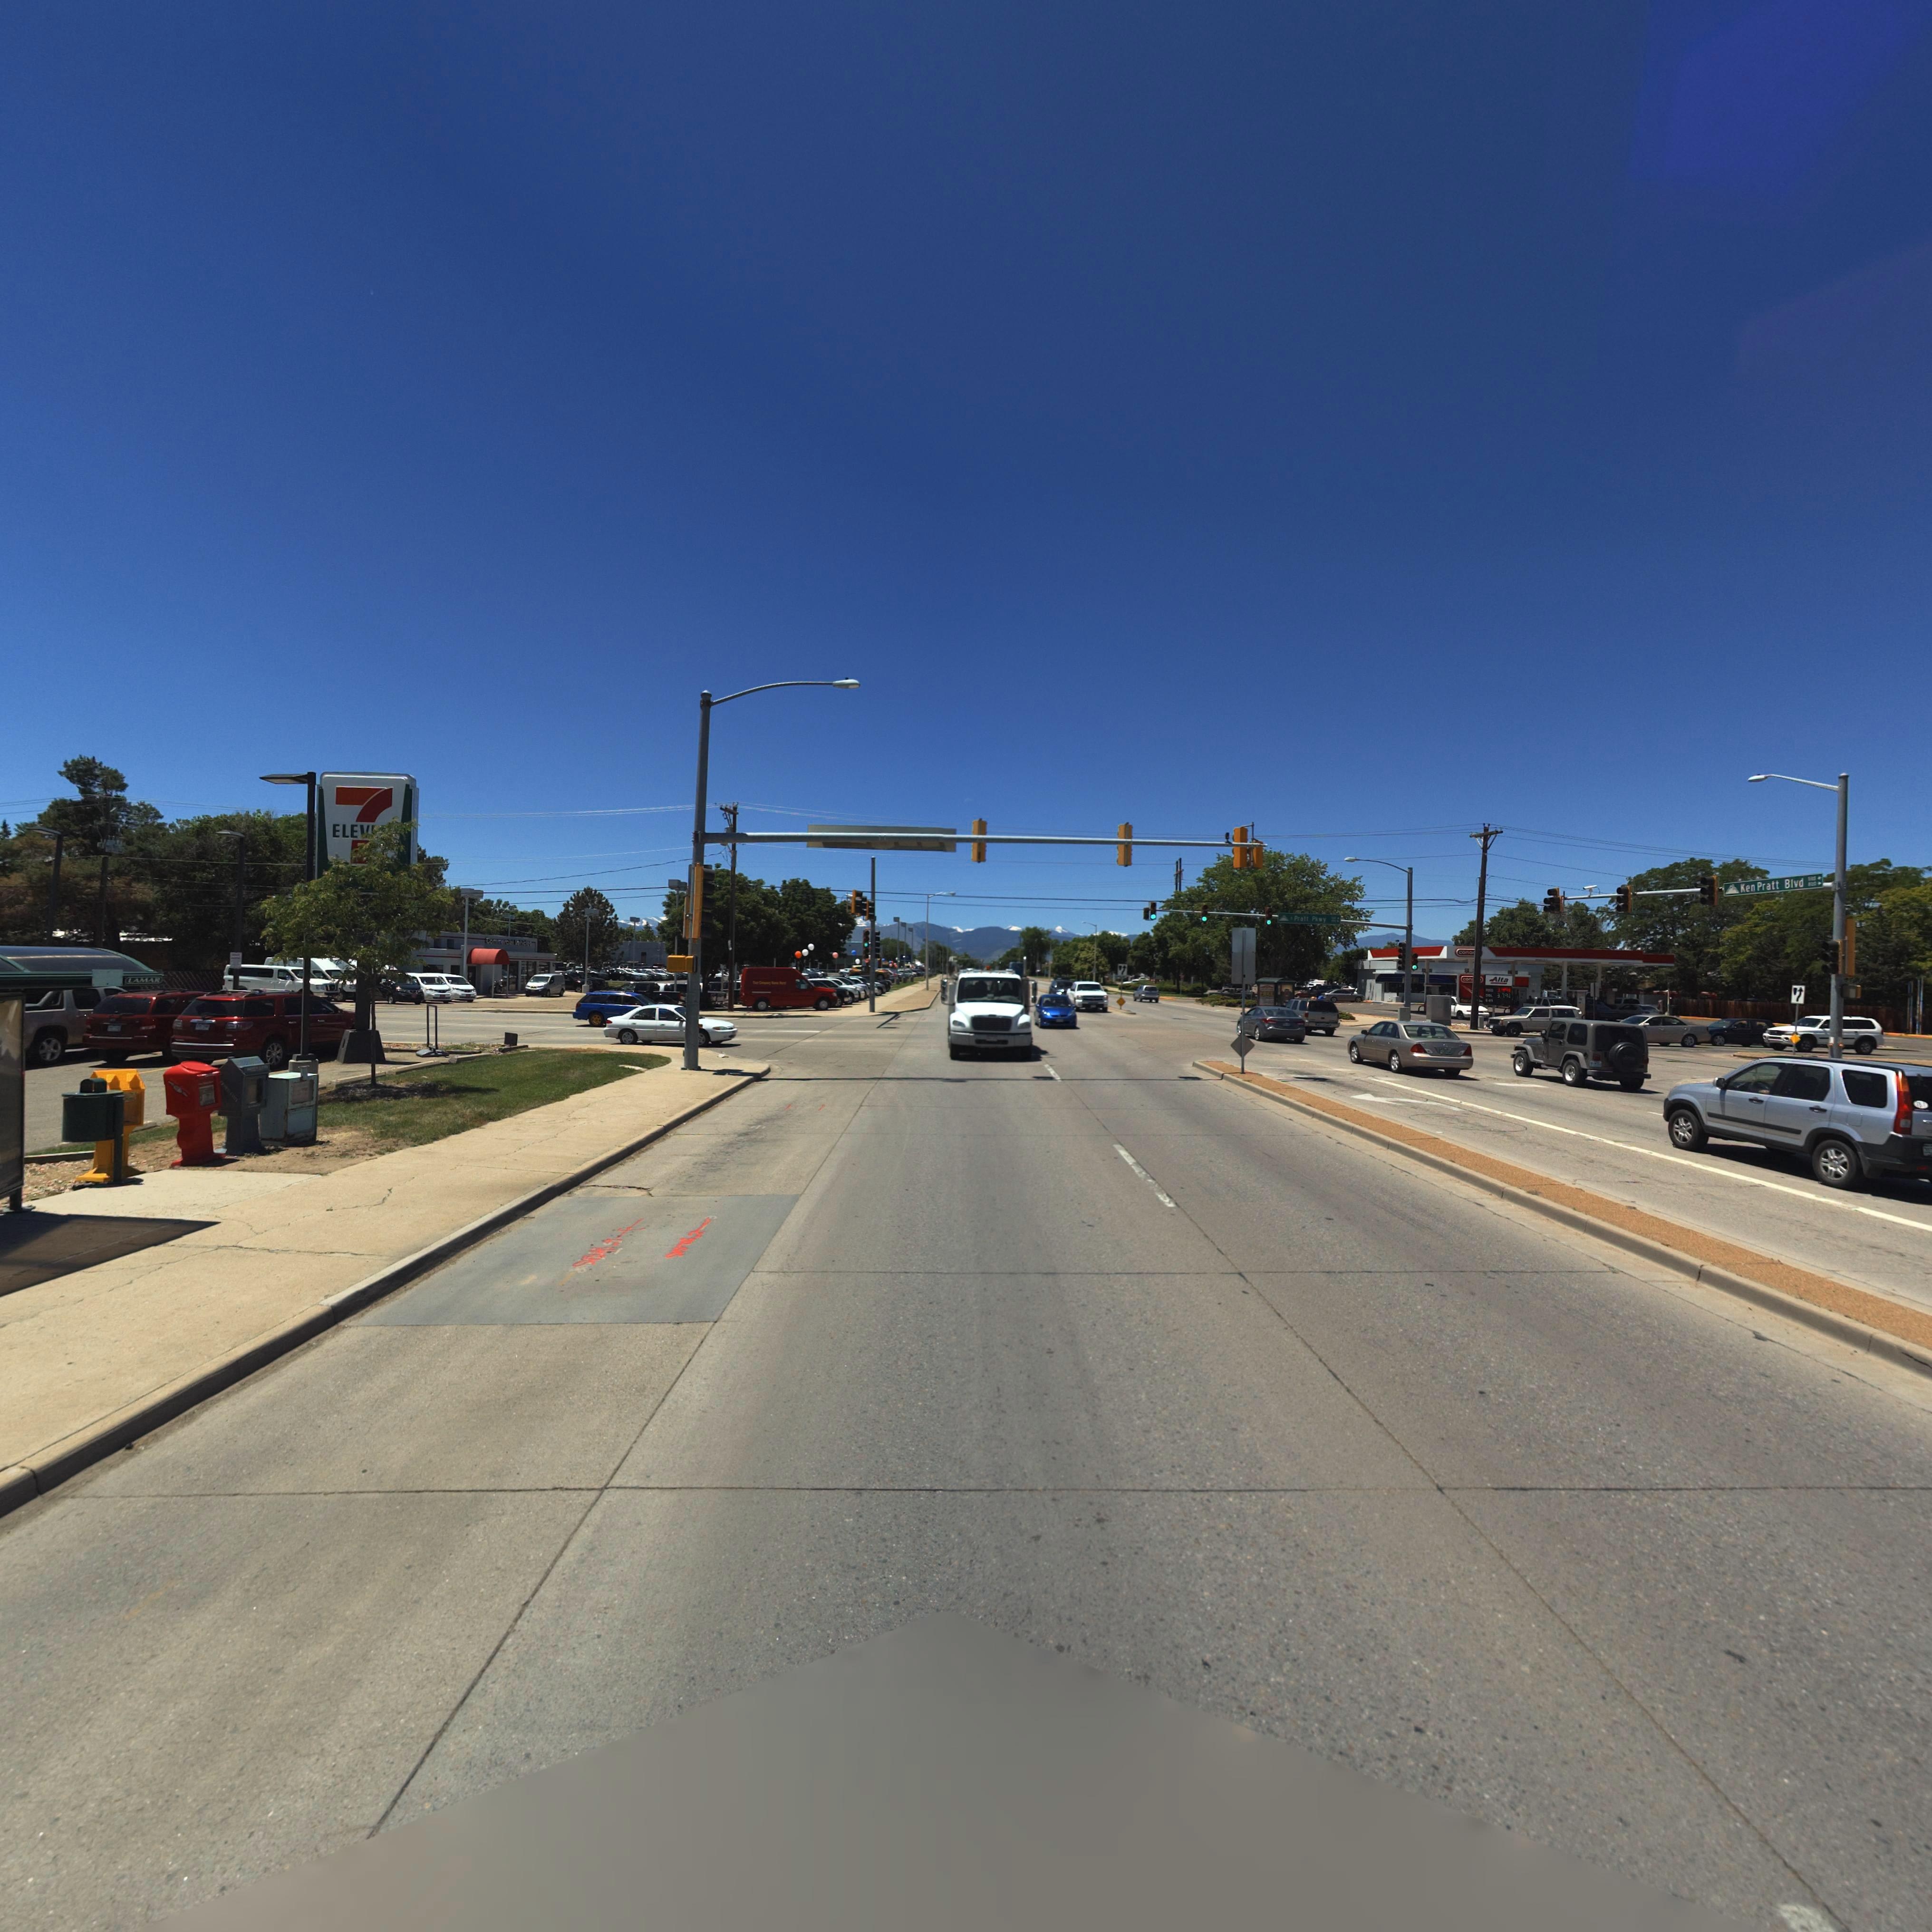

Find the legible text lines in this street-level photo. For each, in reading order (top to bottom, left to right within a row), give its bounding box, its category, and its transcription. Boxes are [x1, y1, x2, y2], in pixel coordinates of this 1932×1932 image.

[334, 784, 394, 865] BusinessName: 7
[331, 822, 378, 840] BusinessName: ELEV*
[1740, 877, 1804, 893] StreetName: Ken Pratt Blvd
[1289, 915, 1327, 924] StreetName: S Pratt Pkwy
[1458, 950, 1475, 955] BusinessName: cono*
[1462, 977, 1472, 981] BusinessName: con
[1489, 976, 1508, 983] BusinessName: Alta